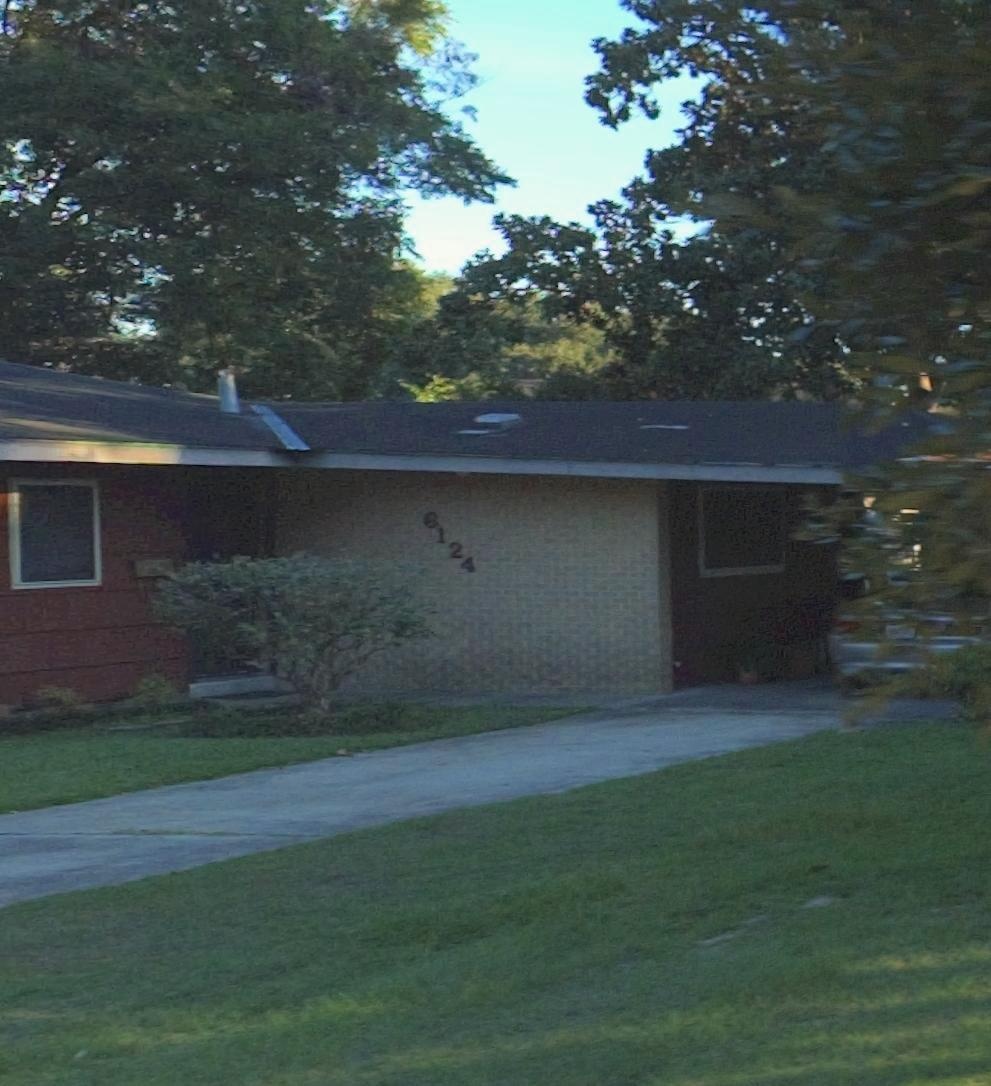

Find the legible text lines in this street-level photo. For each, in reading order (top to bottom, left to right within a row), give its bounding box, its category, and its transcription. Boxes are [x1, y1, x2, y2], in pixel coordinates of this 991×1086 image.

[423, 510, 476, 577] StreetNumber: 6124